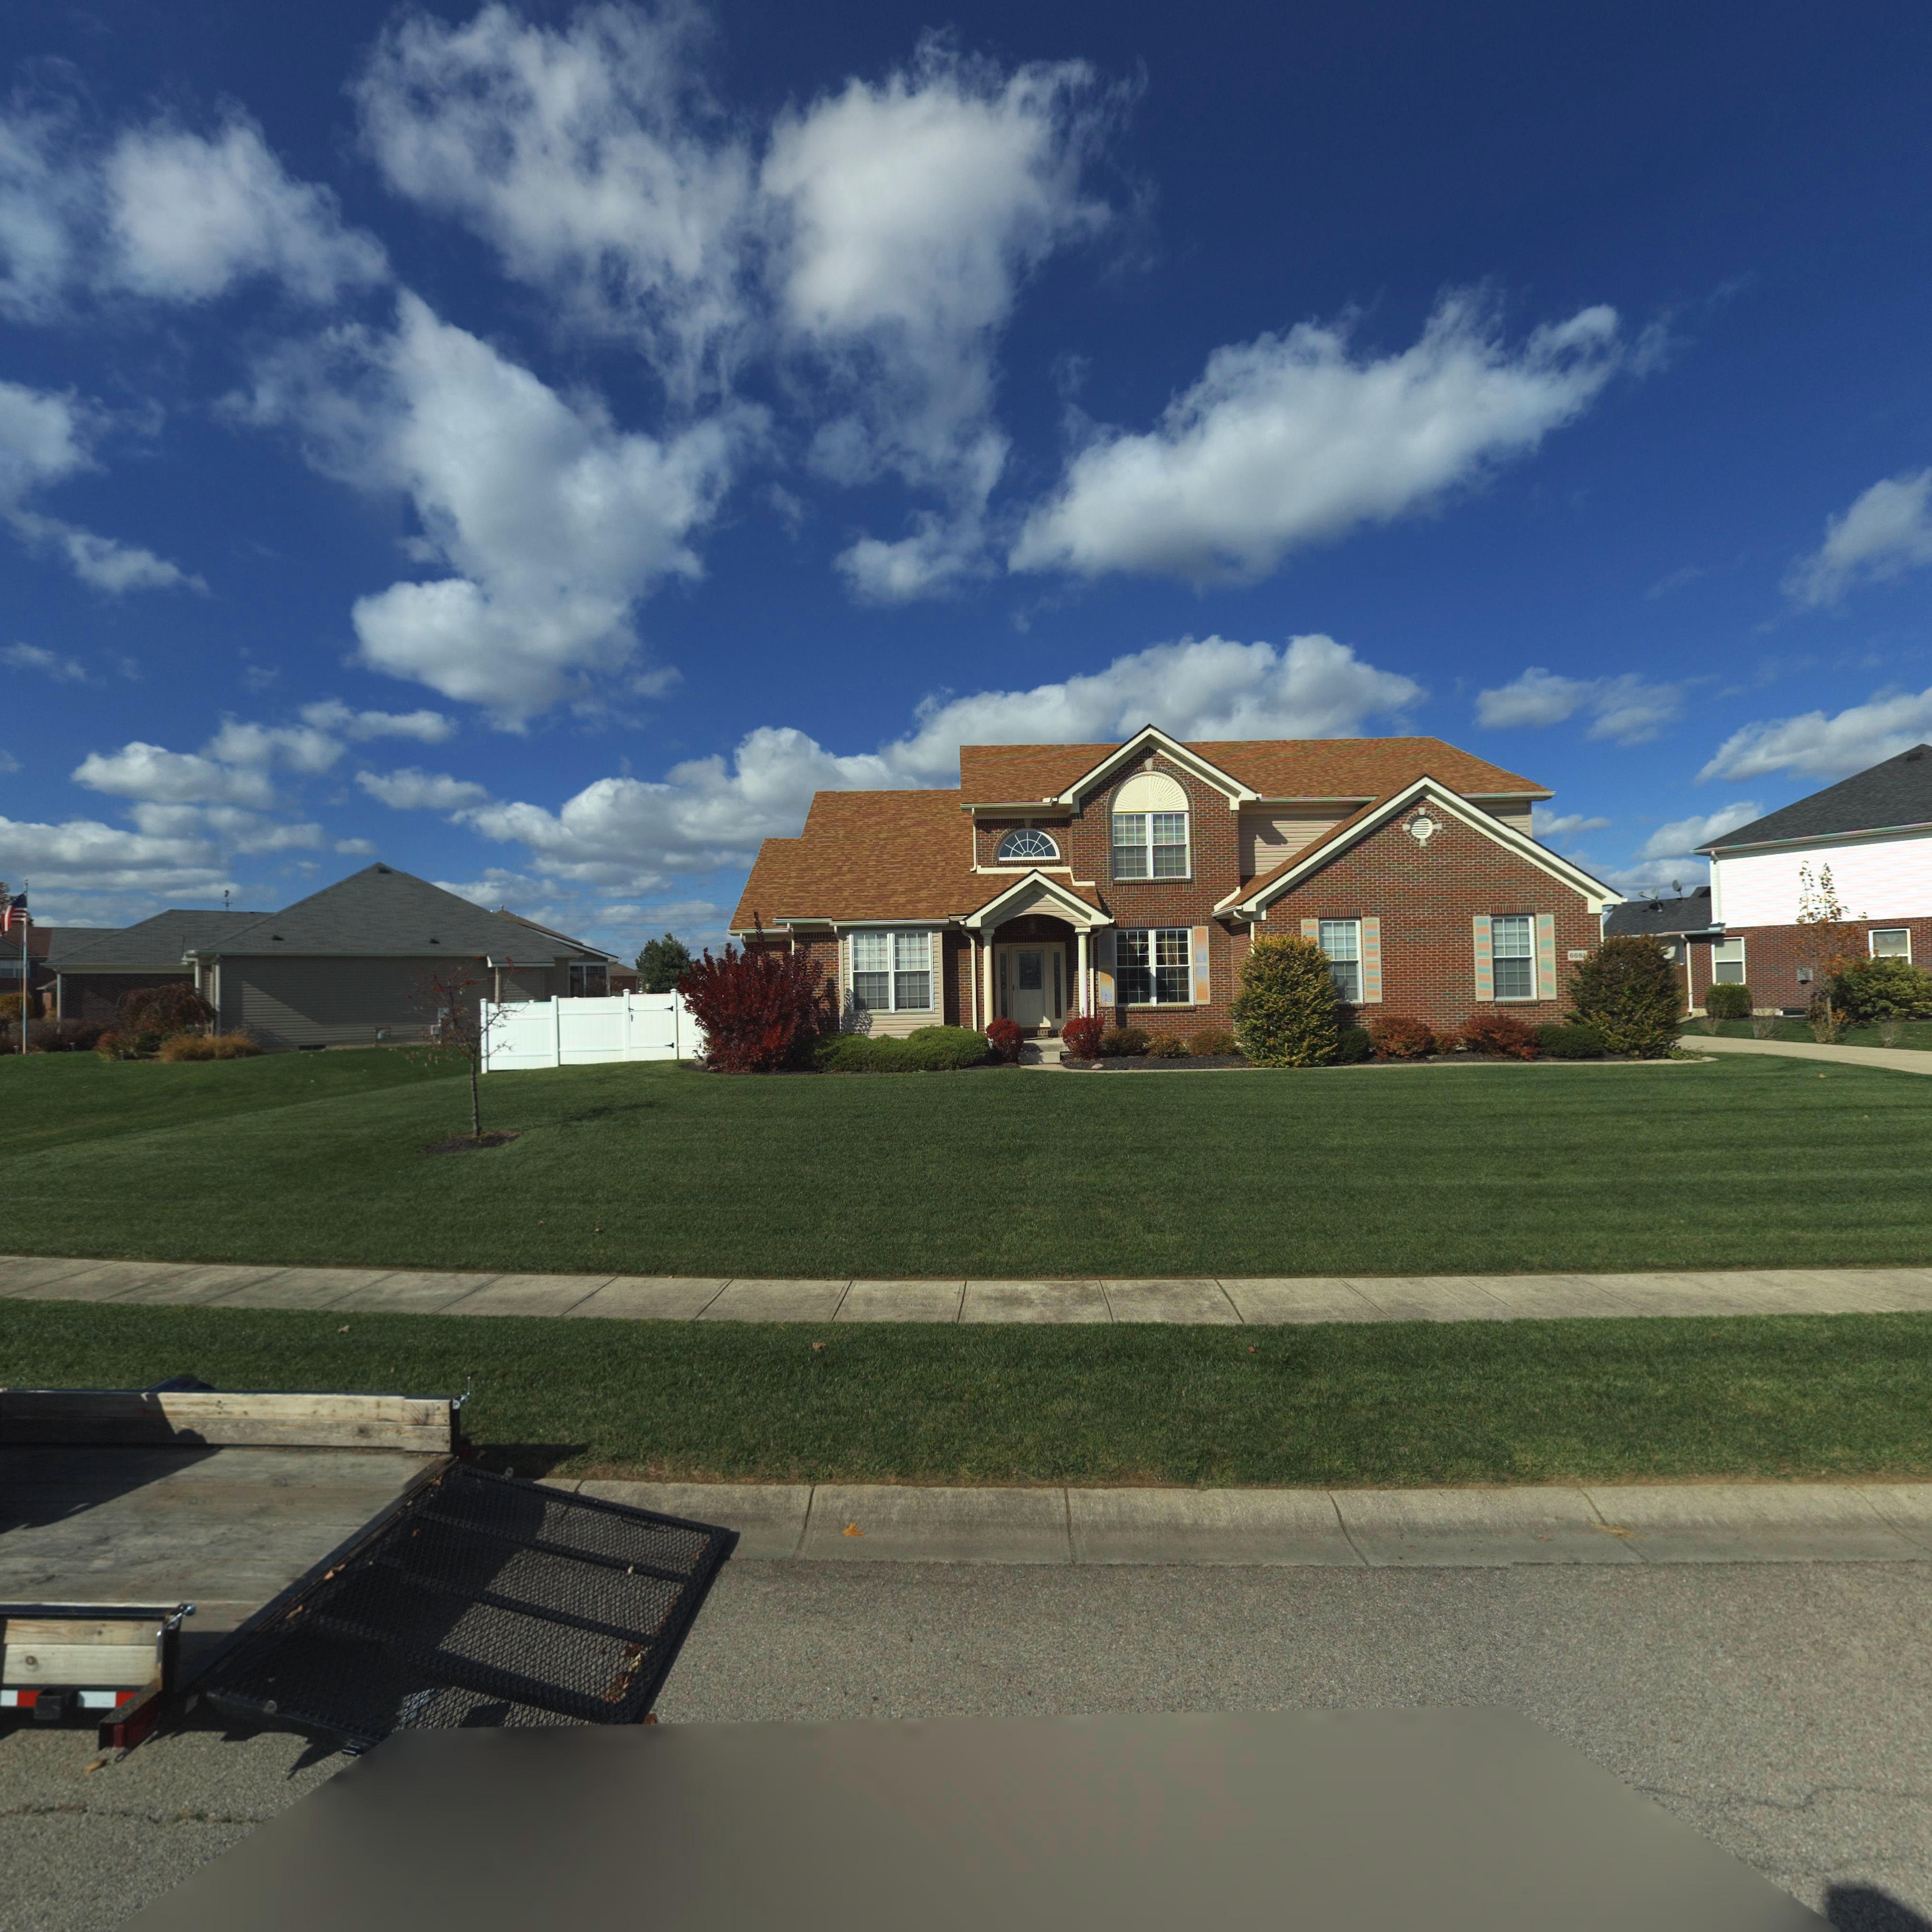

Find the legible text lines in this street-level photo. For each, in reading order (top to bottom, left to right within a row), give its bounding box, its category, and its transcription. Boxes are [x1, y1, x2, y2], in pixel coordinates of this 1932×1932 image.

[1569, 952, 1586, 959] StreetNumber: 668*